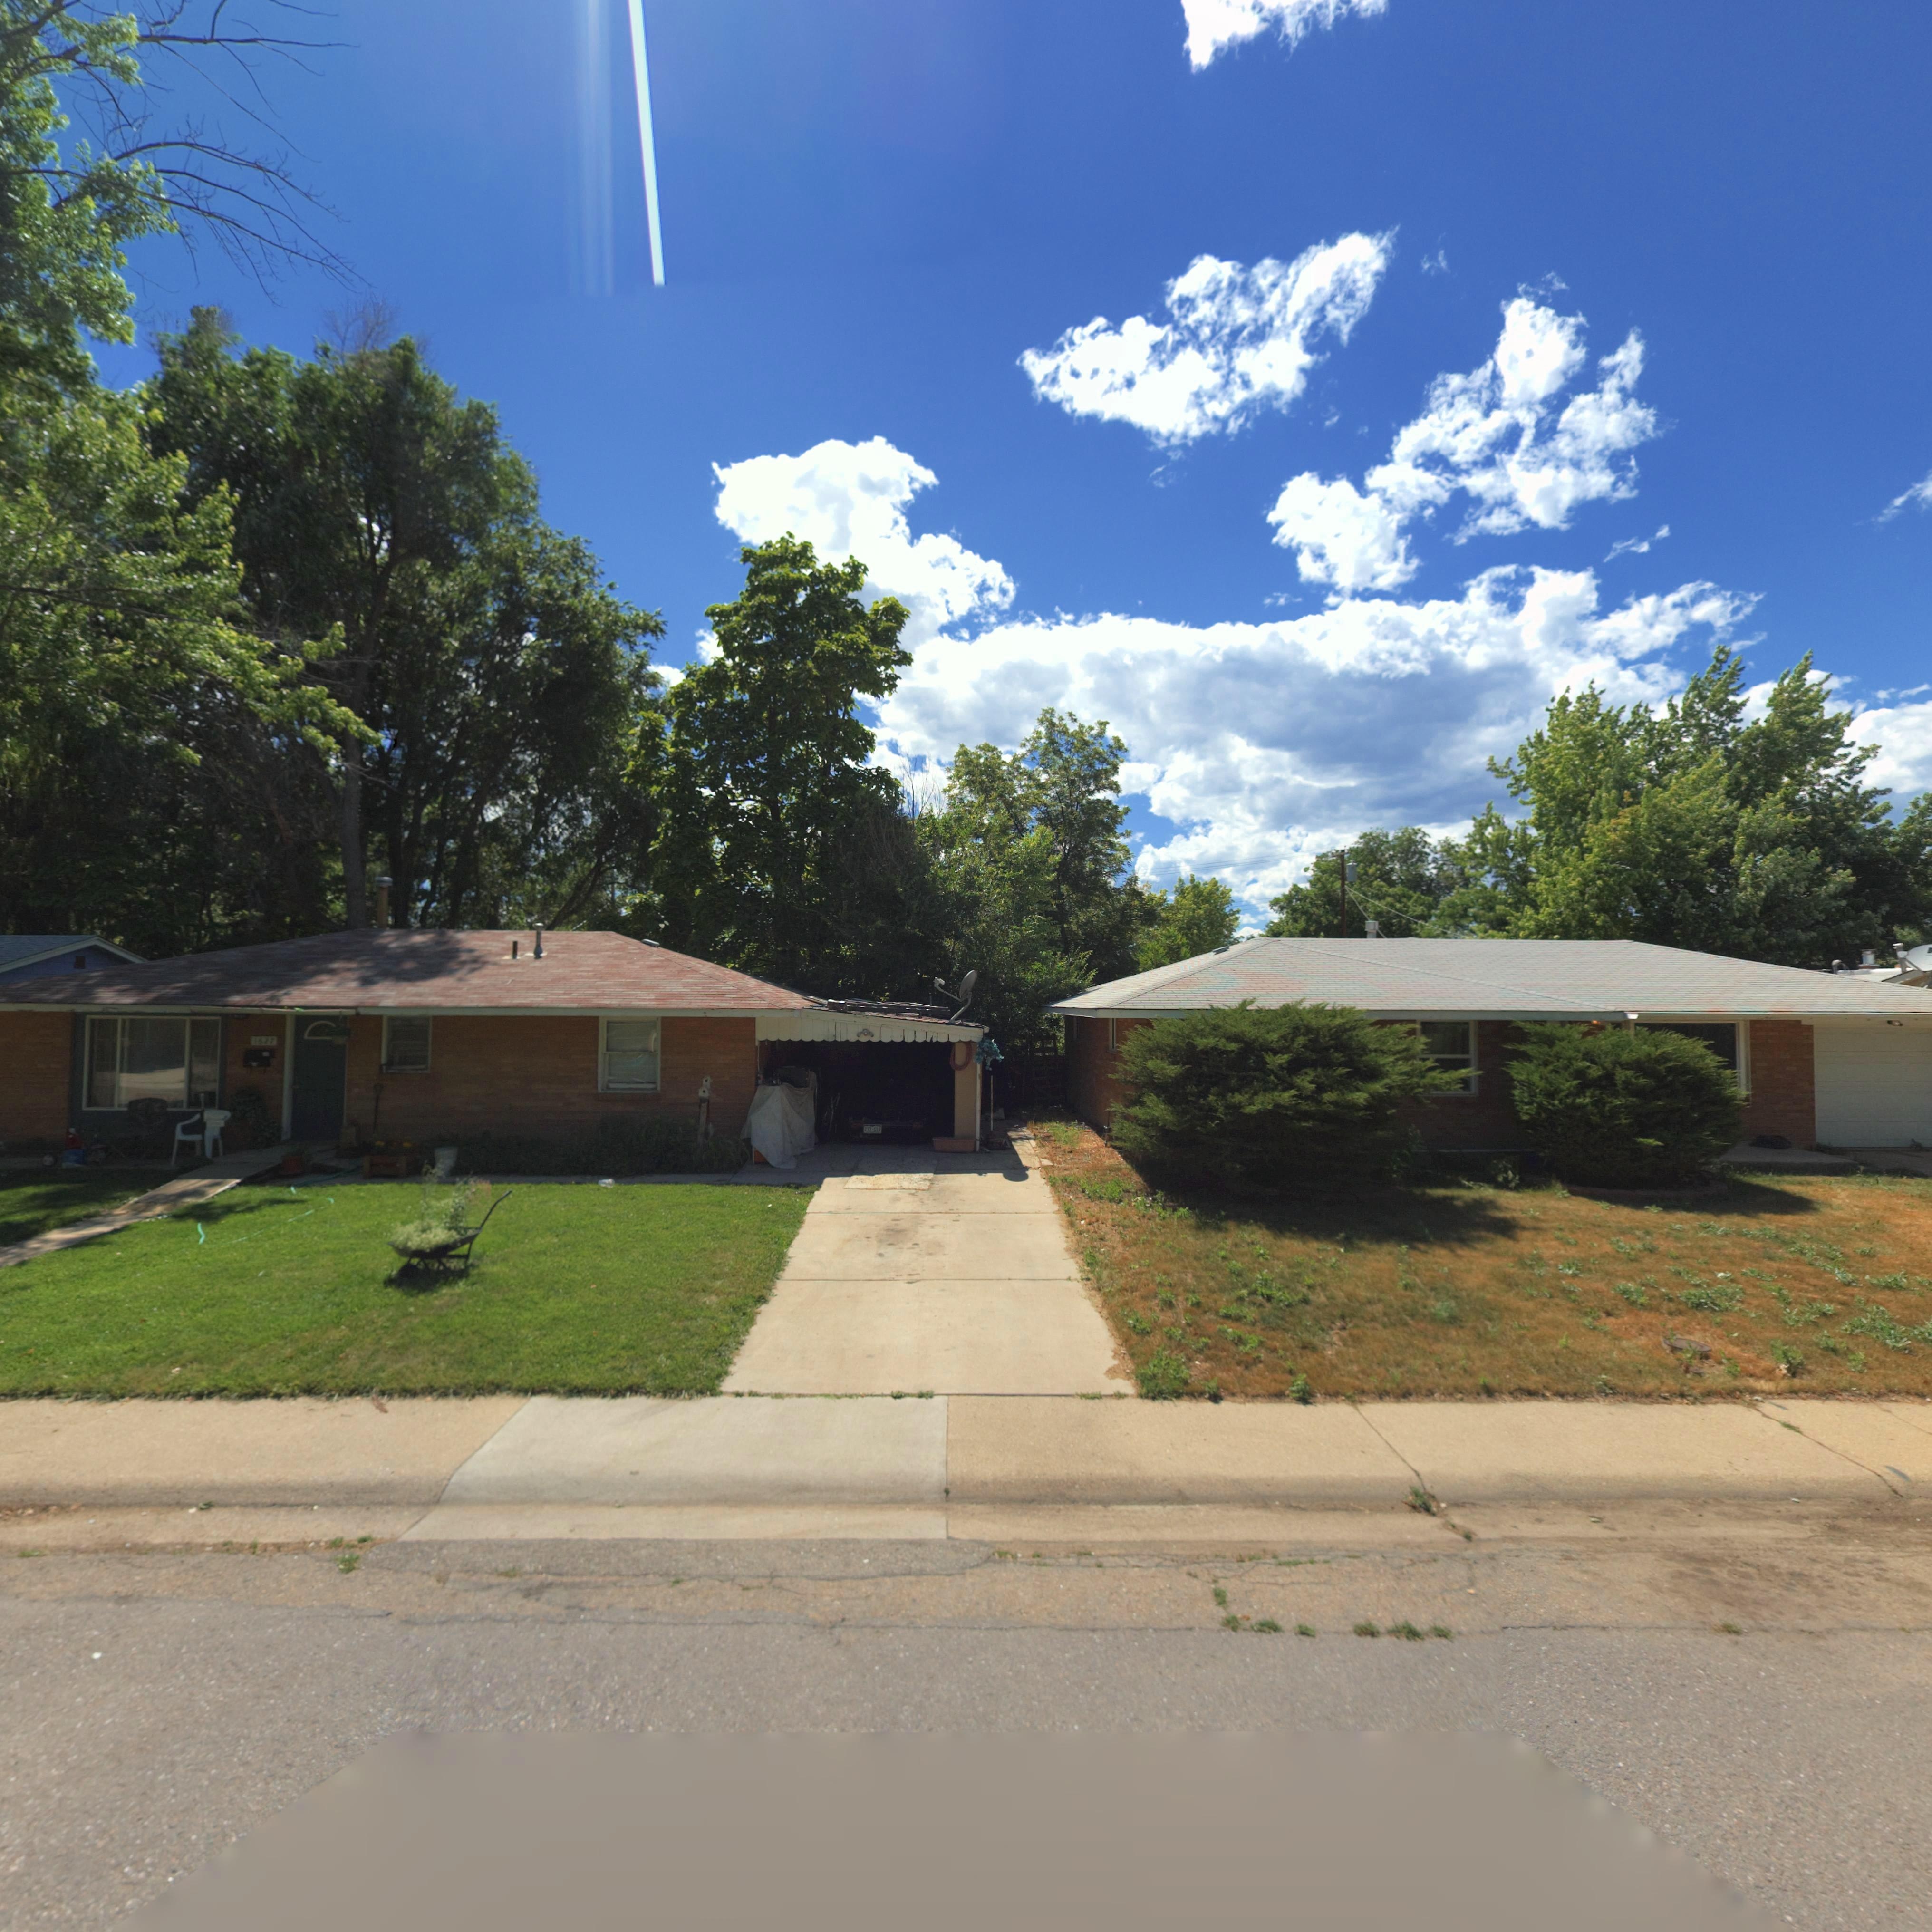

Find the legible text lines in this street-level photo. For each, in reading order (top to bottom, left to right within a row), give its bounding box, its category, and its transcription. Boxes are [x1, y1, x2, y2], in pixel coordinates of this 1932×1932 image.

[253, 1037, 275, 1044] StreetNumber: 1627